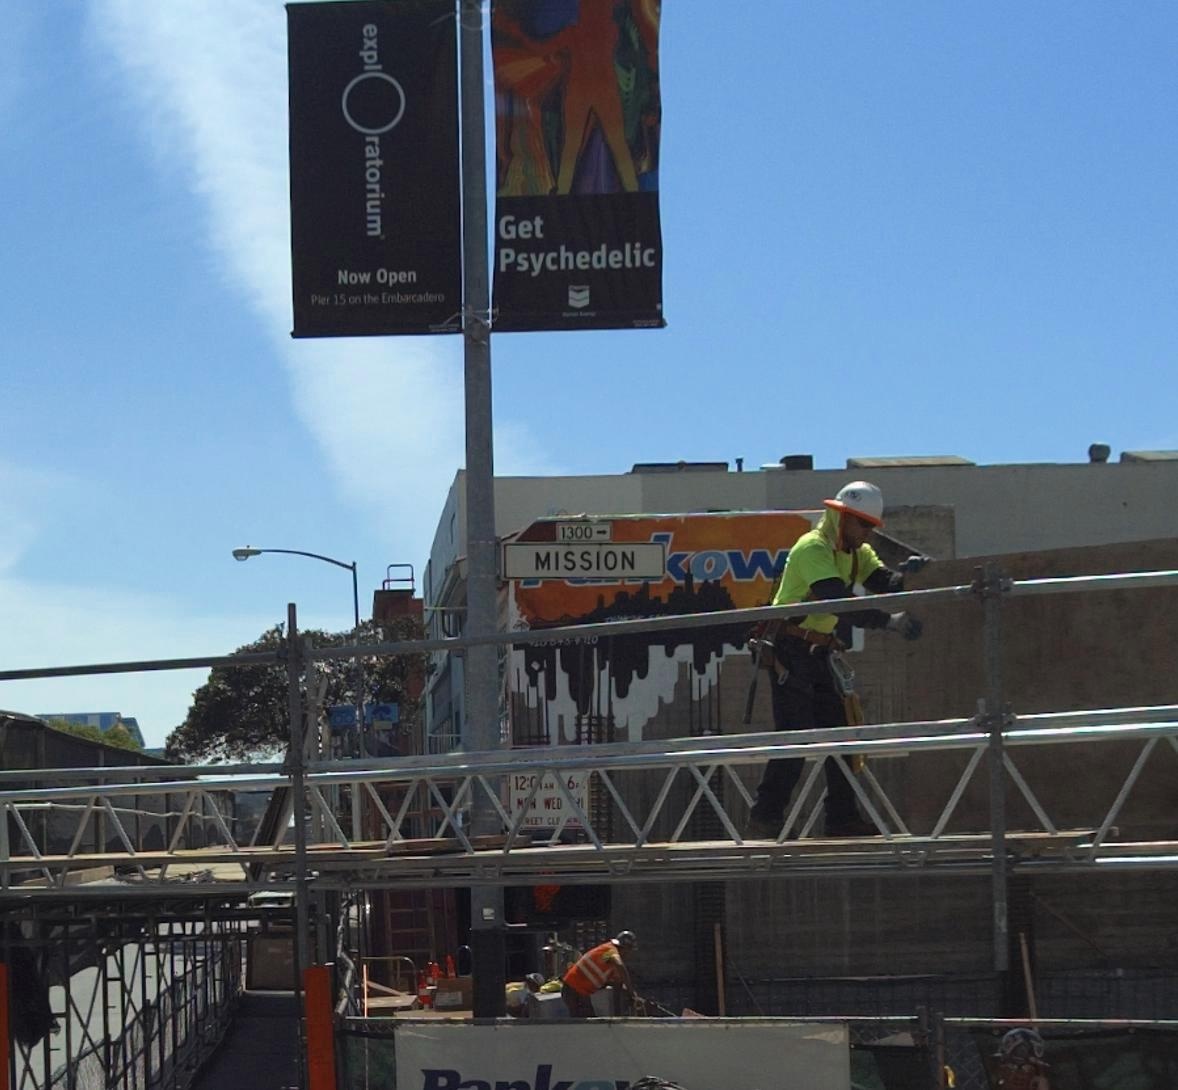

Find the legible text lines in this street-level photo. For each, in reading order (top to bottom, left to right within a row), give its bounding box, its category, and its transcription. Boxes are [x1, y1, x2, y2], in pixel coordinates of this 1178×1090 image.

[337, 22, 412, 238] None: explOratorium
[498, 213, 549, 243] None: Get
[497, 241, 657, 281] None: Psychedelic
[335, 267, 417, 288] None: Now Open
[308, 290, 445, 308] None: Pier 15 on the Emb**cadero
[560, 525, 608, 539] StreetNumberRange: 1300->
[533, 549, 636, 572] StreetName: MISSION
[689, 546, 794, 583] None: OW
[513, 774, 530, 791] None: 12:
[542, 781, 555, 790] None: AM
[565, 775, 581, 789] None: 6A
[512, 795, 587, 811] None: M*N WED *HI
[523, 816, 561, 826] None: REET CL*